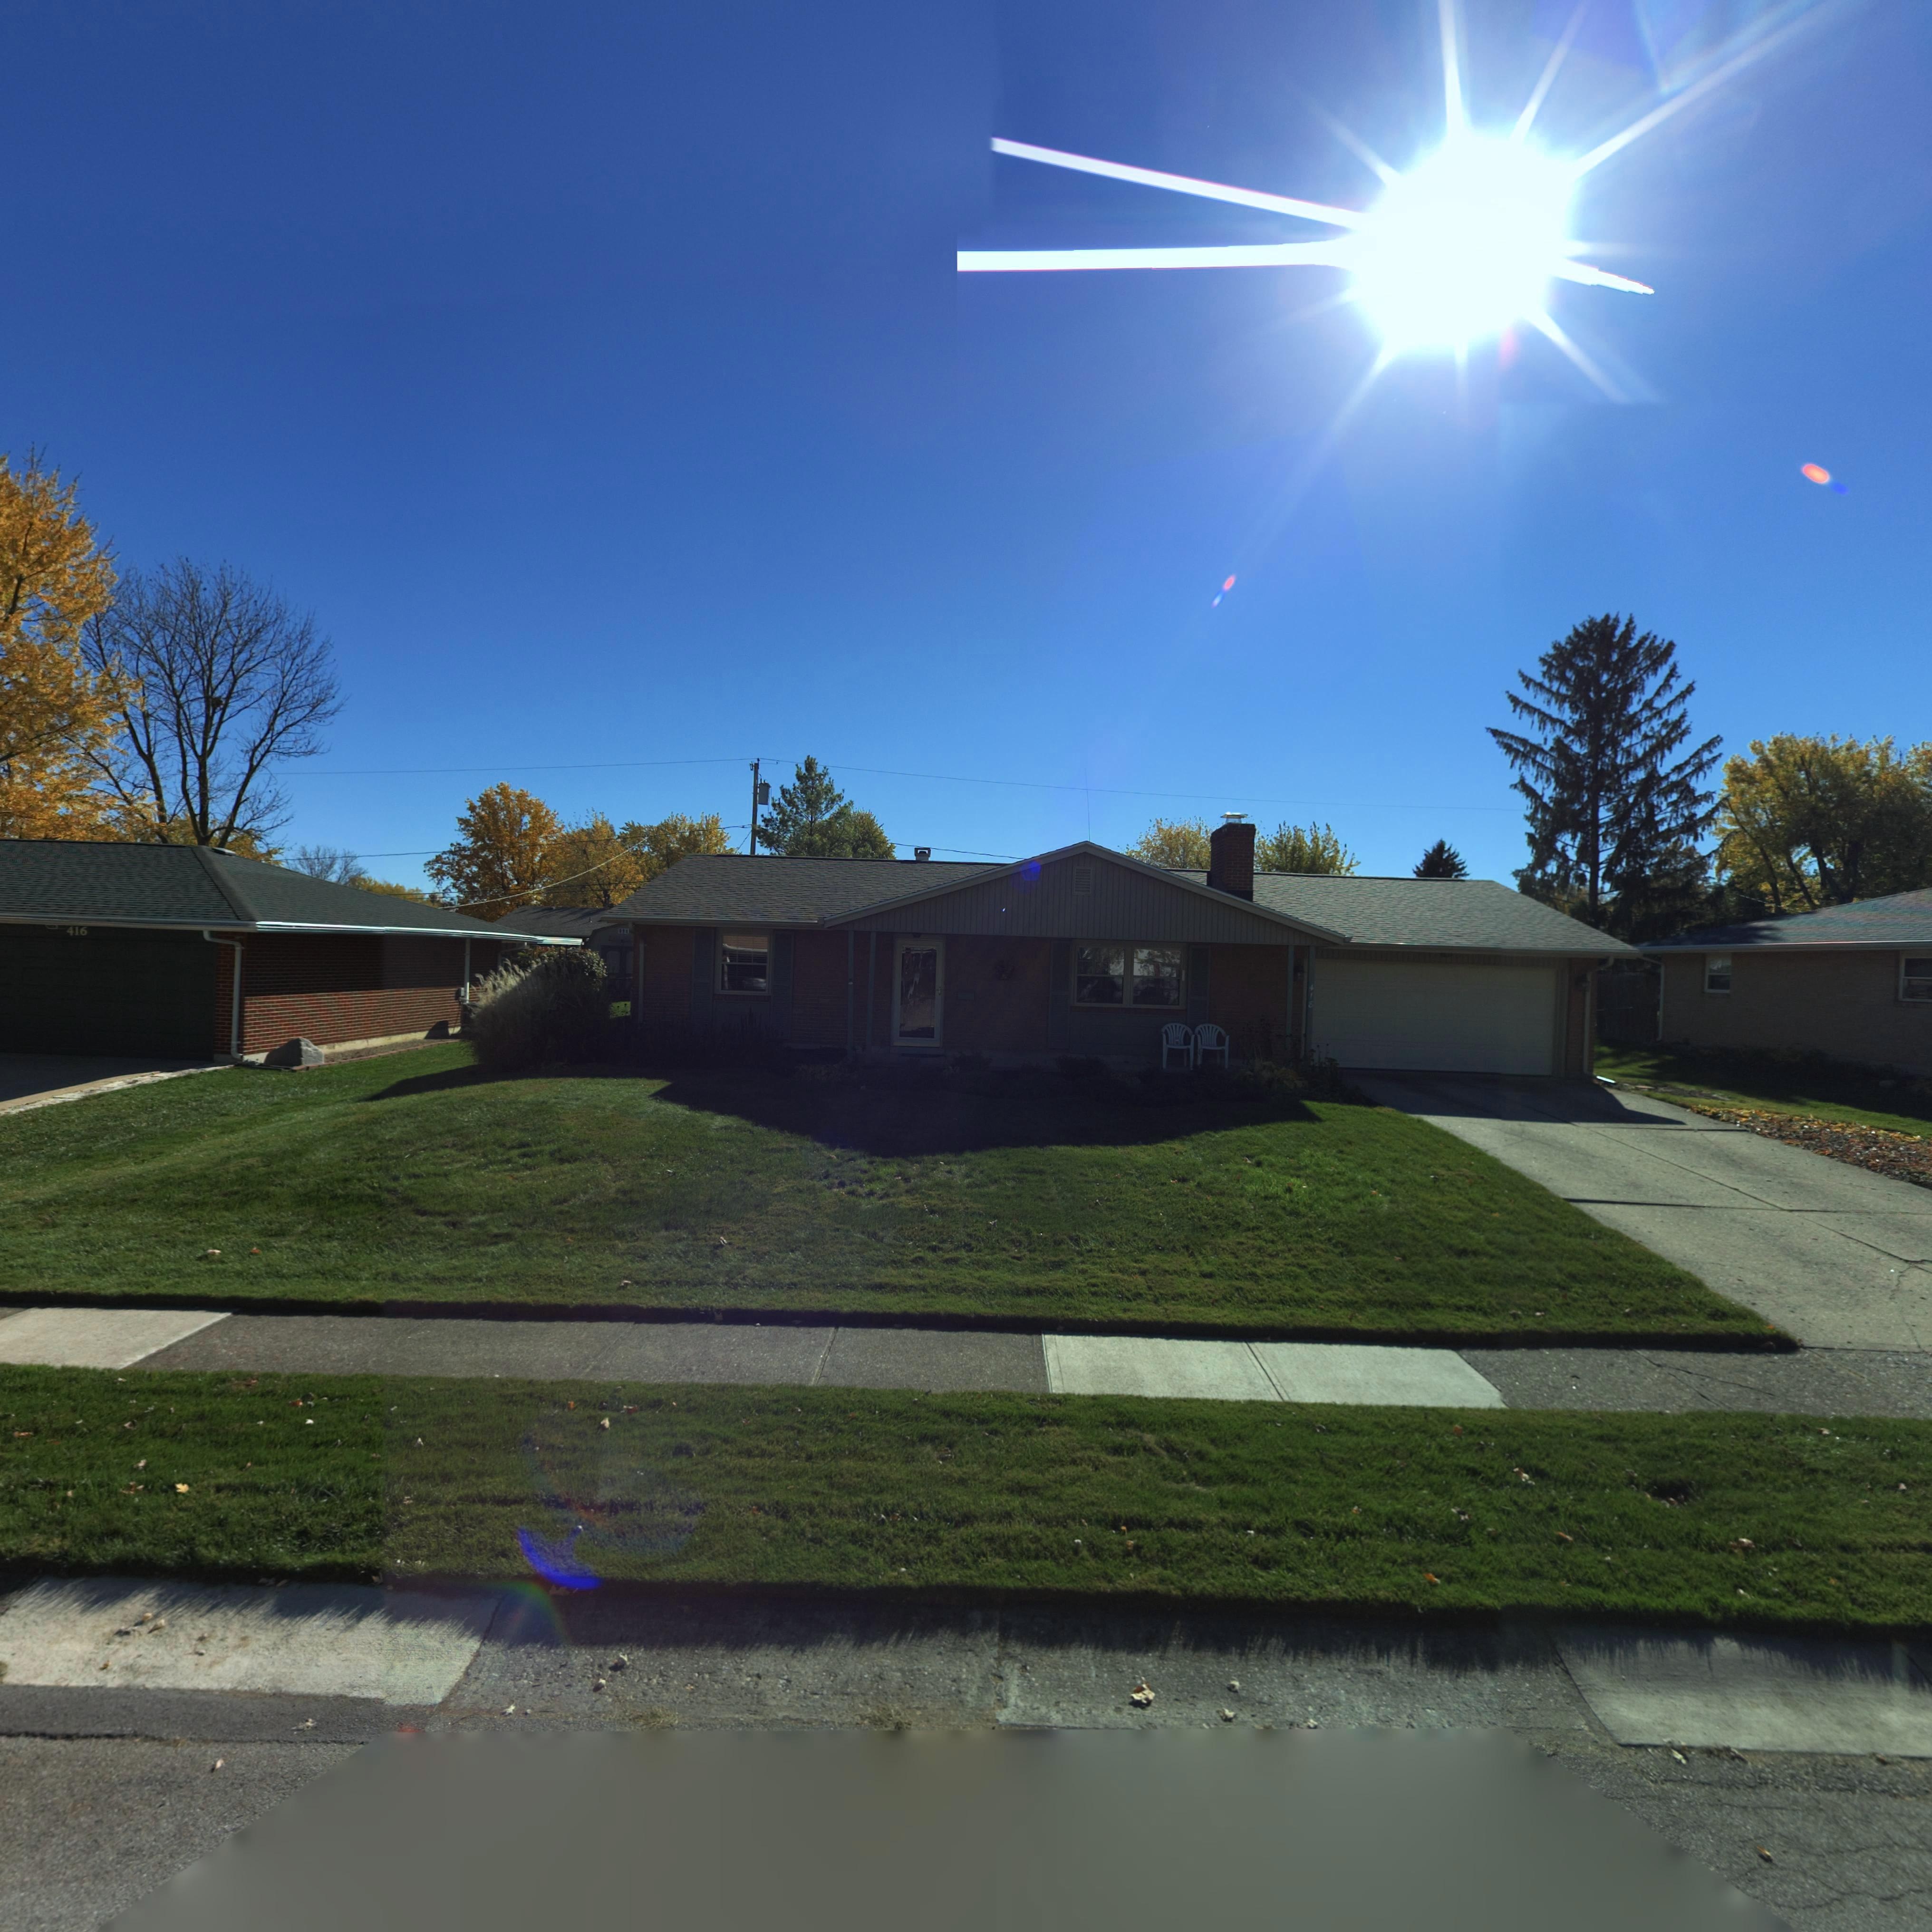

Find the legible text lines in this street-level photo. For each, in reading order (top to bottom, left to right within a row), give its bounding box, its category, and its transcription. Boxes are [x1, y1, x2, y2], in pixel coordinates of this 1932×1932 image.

[64, 925, 89, 937] StreetNumber: 416
[1307, 983, 1315, 1009] StreetNumber: 418